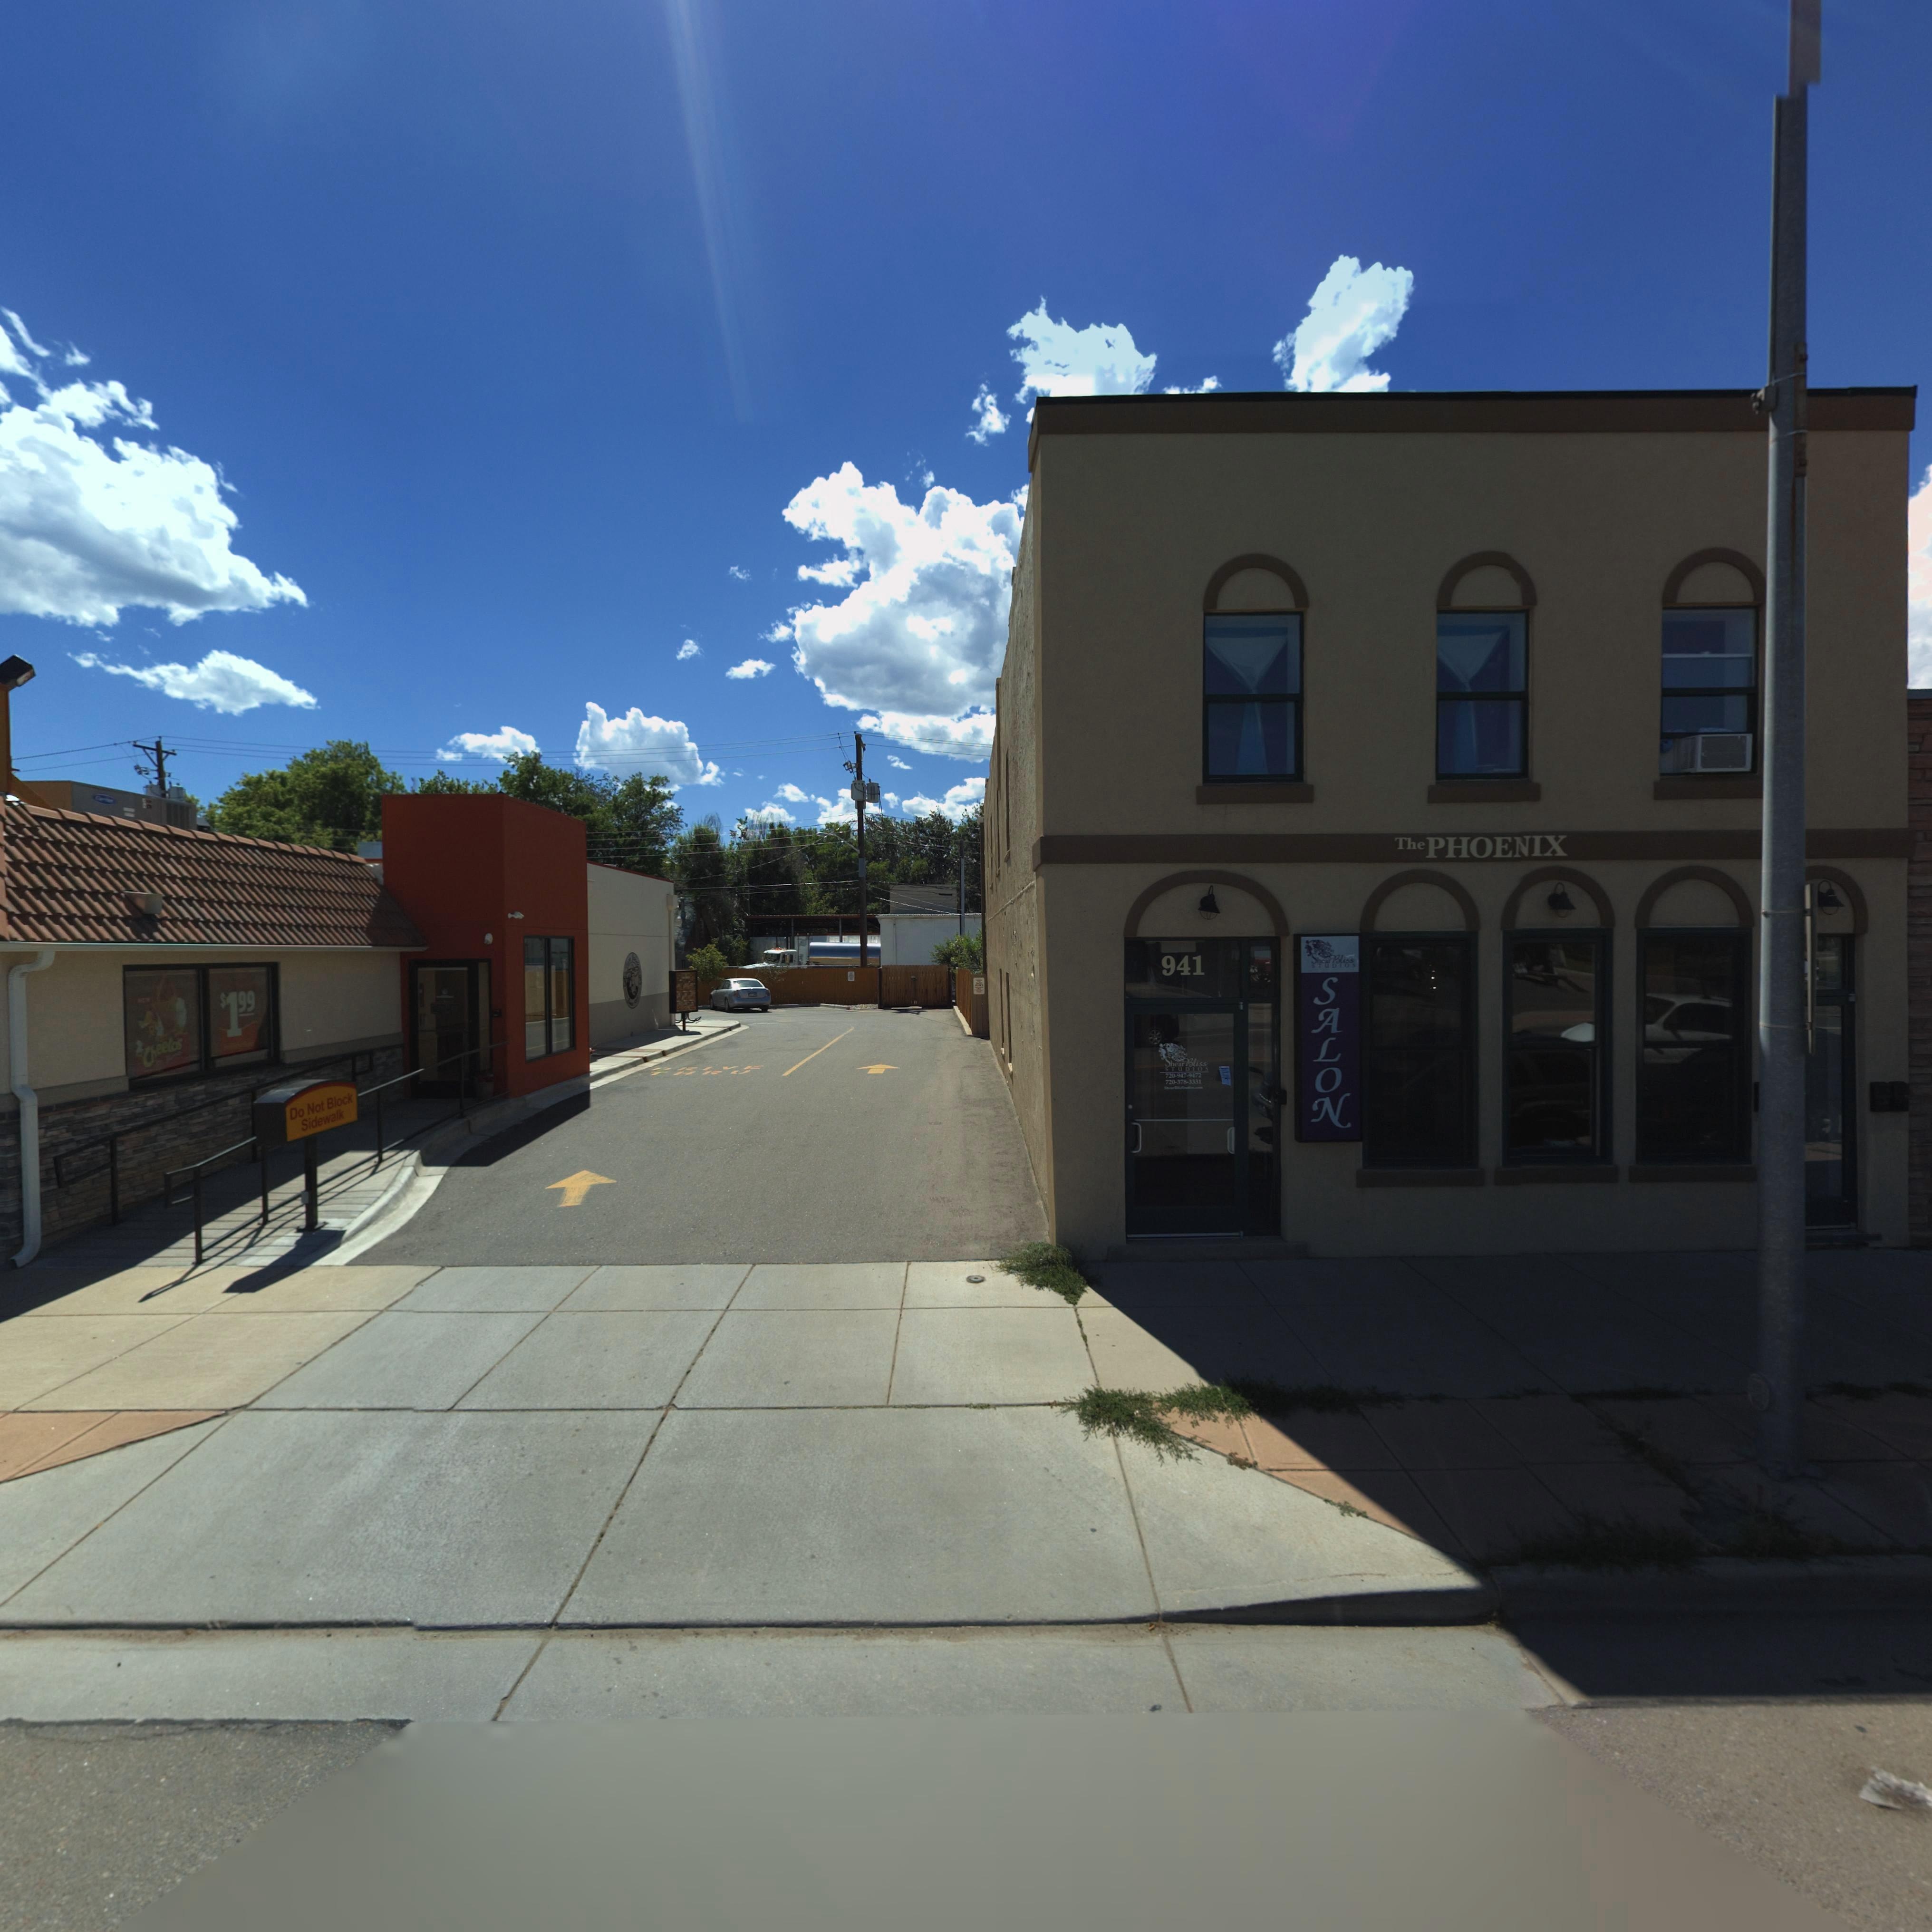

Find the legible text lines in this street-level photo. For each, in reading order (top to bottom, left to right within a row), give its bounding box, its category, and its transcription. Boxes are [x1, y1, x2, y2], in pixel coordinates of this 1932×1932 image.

[1394, 834, 1568, 859] BusinessName: ThePHOENIX
[1311, 952, 1354, 964] BusinessName: Shear Bliss
[1161, 955, 1205, 976] StreetNumber: 941
[1312, 963, 1355, 968] BusinessName: STUDIOS
[1310, 976, 1352, 1129] BusinessName: SALON
[1164, 1055, 1207, 1067] BusinessName: Shear Bliss
[1164, 1066, 1208, 1072] BusinessName: STUDIOS